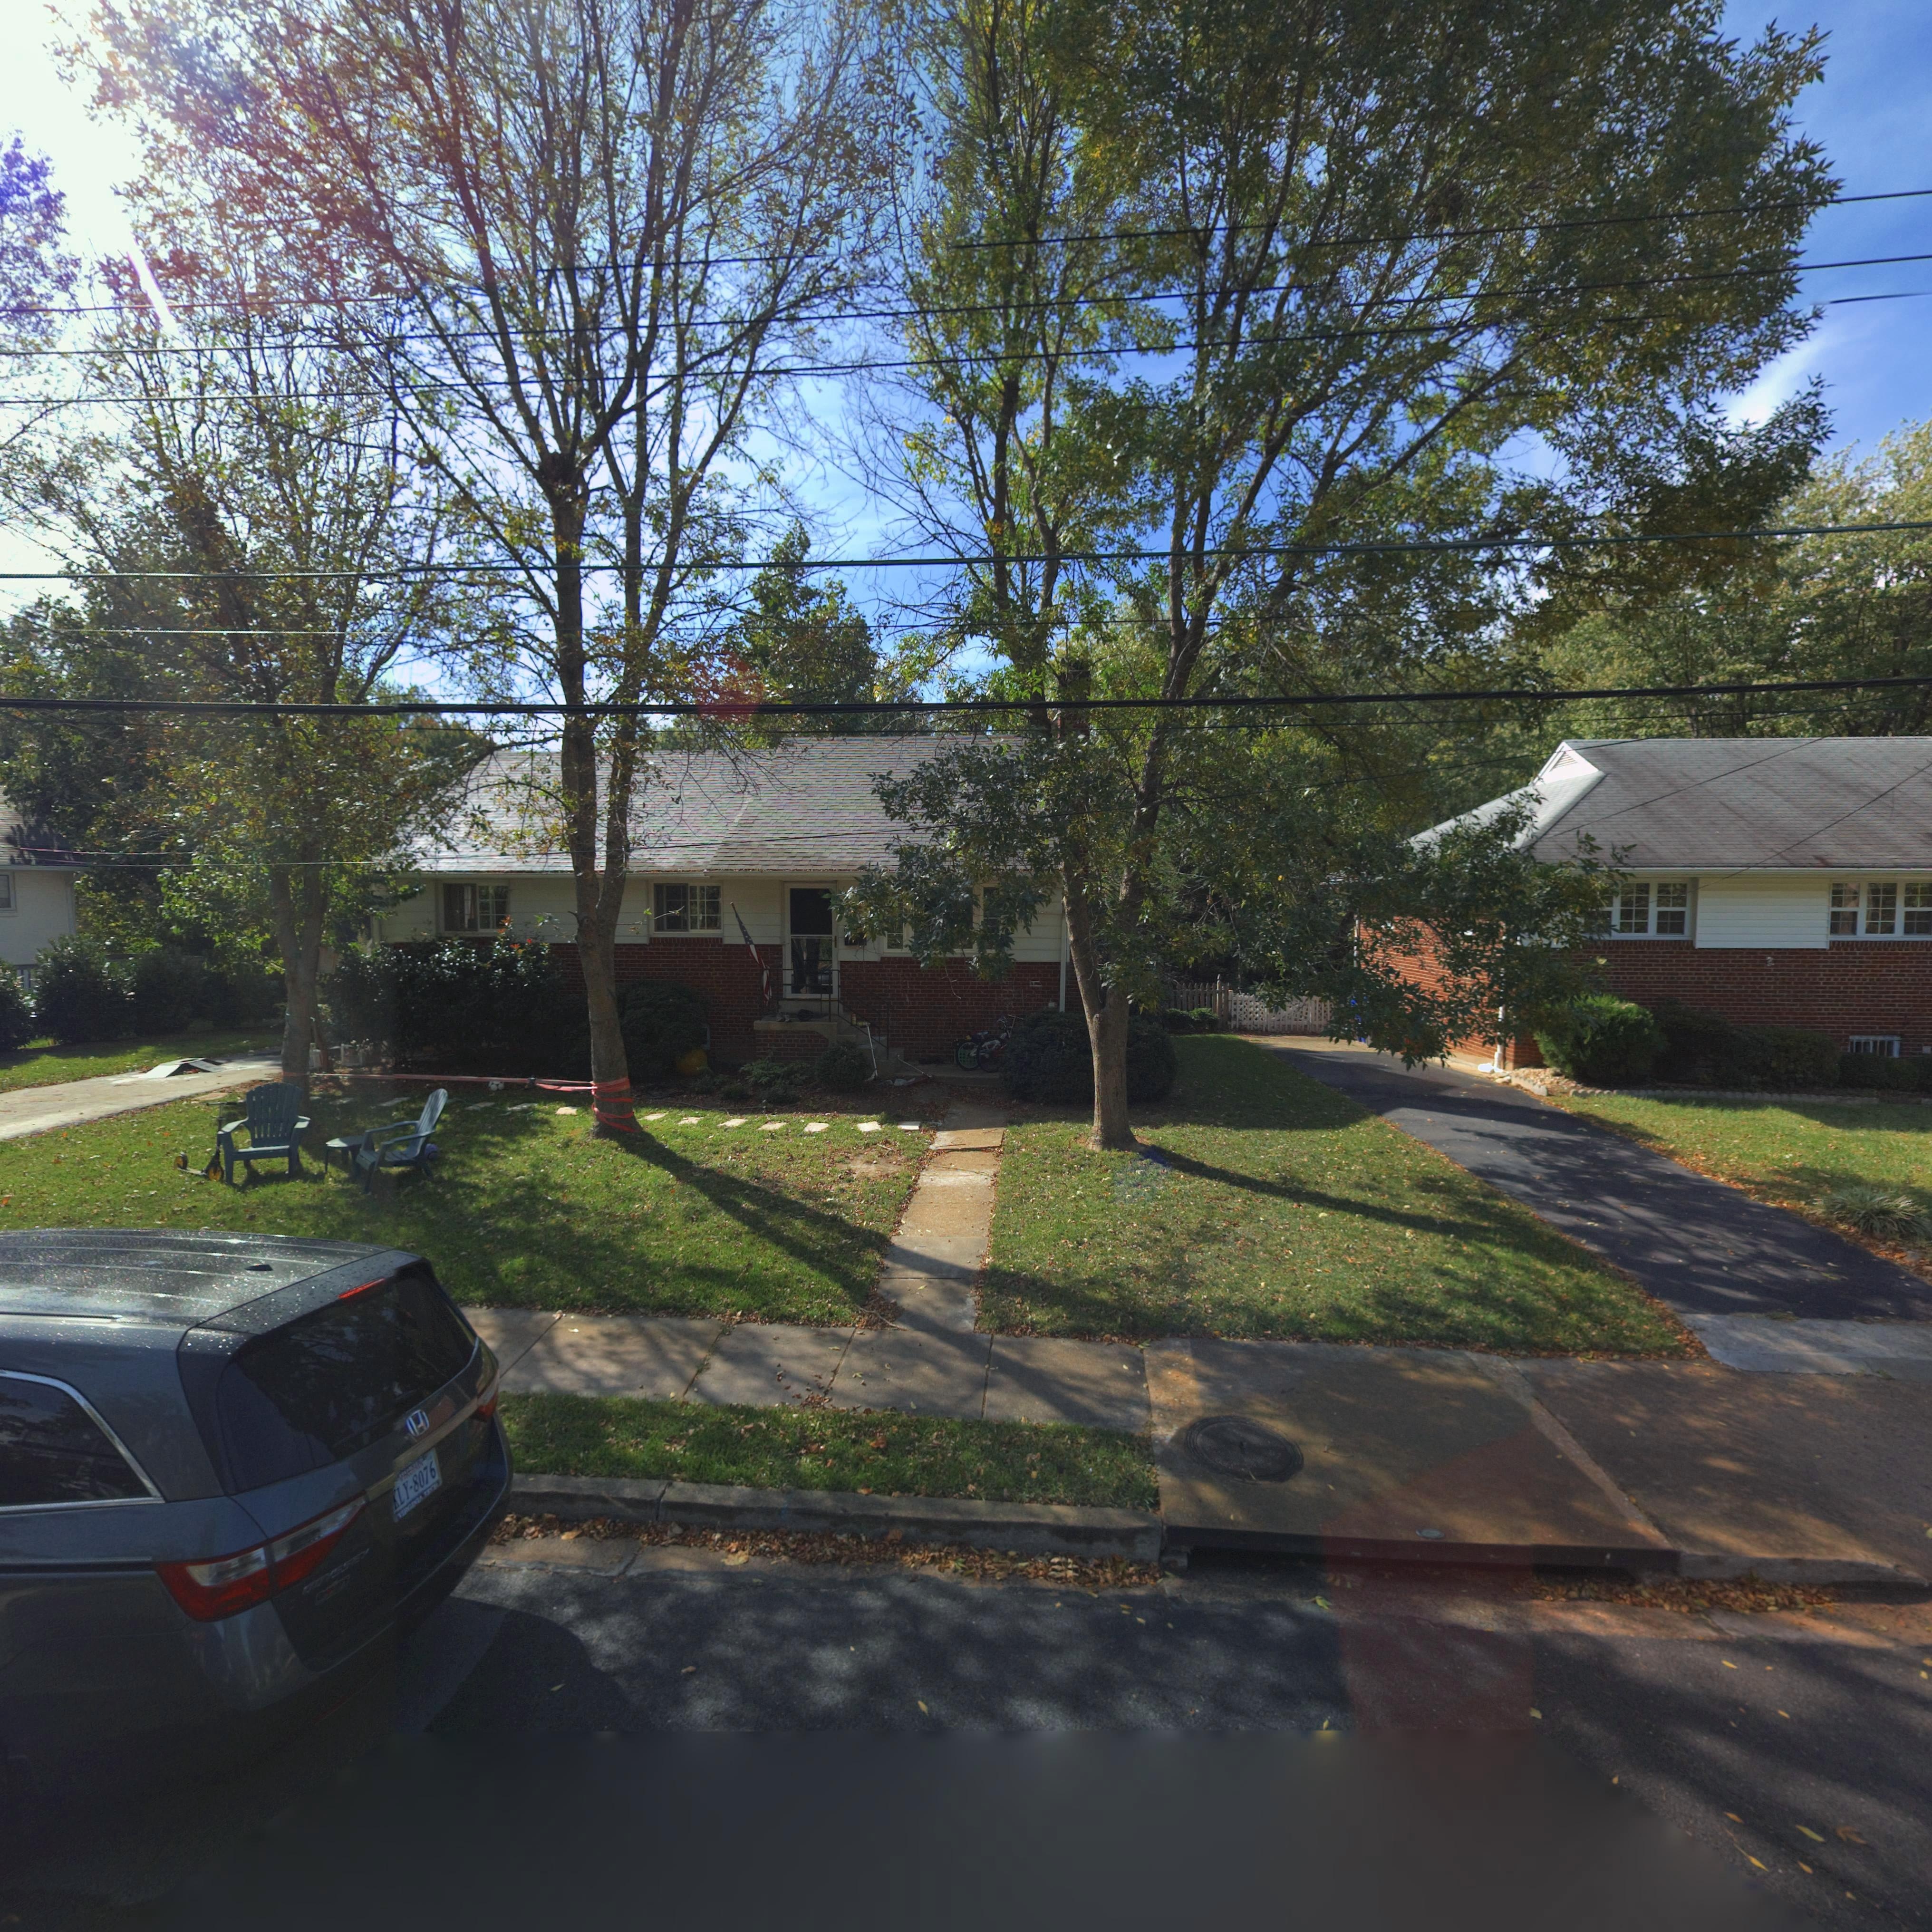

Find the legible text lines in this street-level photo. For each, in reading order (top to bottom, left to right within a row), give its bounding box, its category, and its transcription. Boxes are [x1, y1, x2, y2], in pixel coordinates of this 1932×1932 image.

[407, 1410, 428, 1437] None: H
[394, 1457, 440, 1507] None: LY-8076